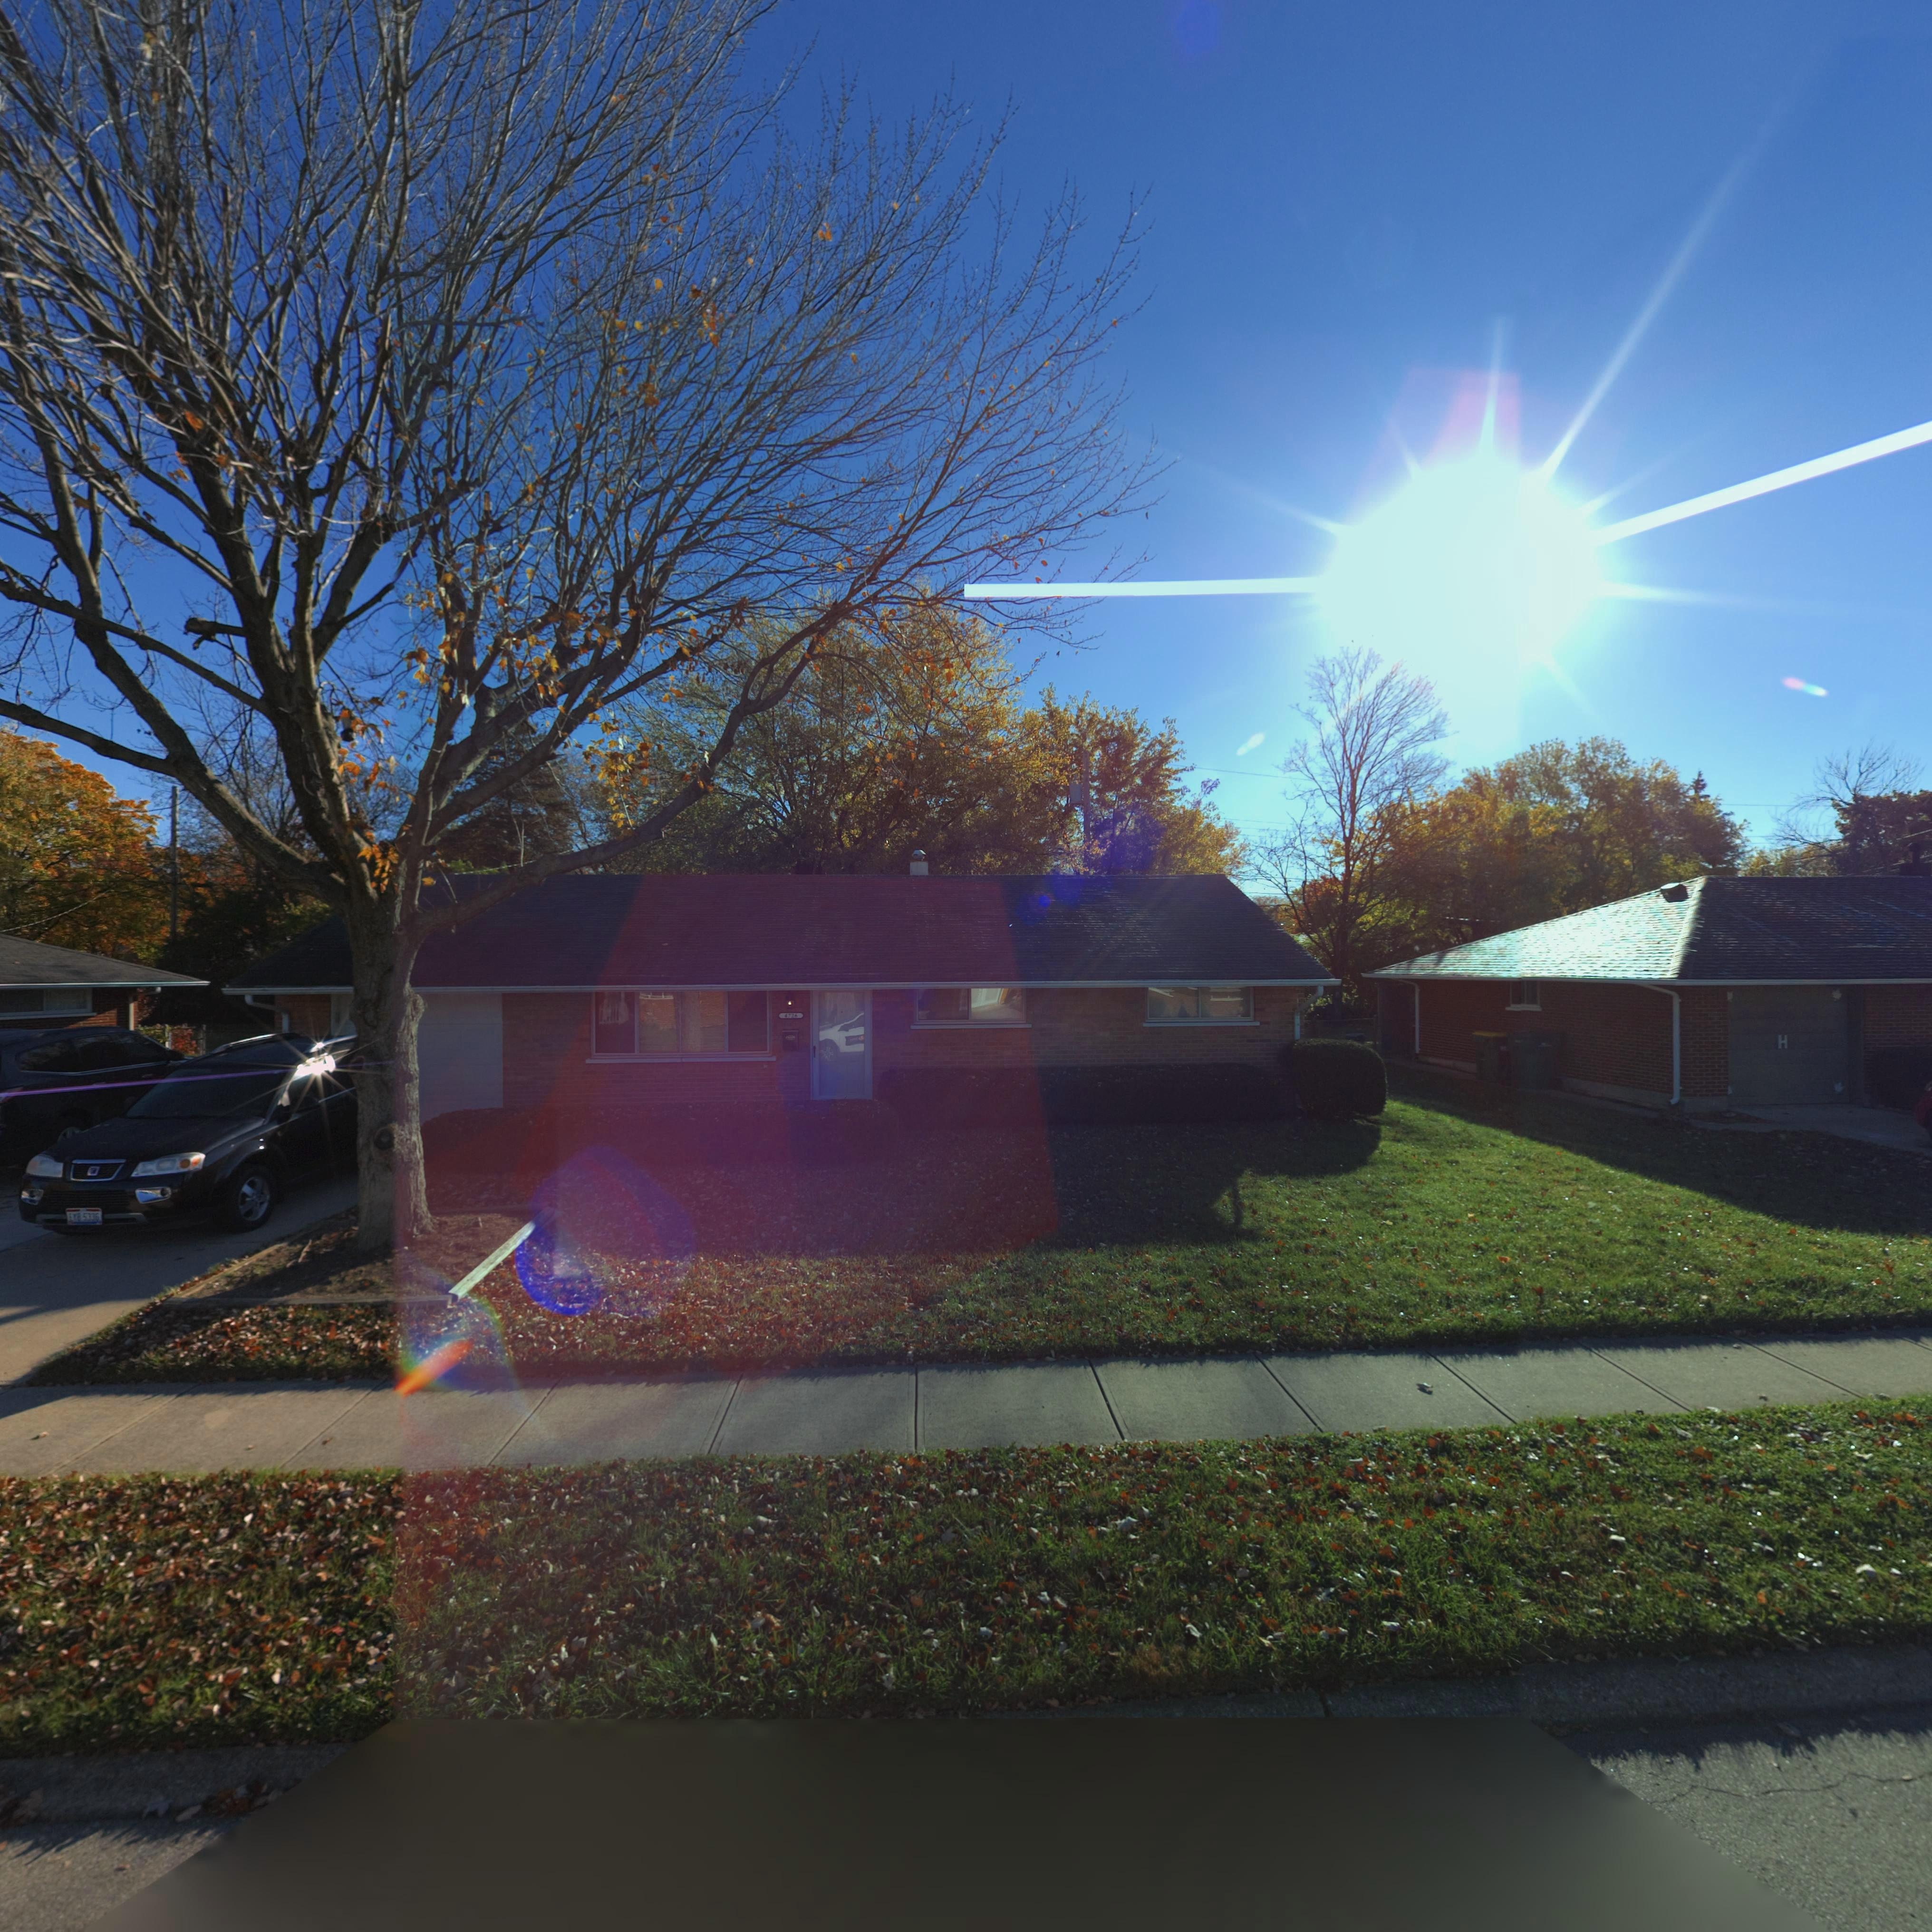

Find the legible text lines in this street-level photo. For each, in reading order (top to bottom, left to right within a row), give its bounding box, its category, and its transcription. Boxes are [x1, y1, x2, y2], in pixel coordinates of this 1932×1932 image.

[783, 1013, 798, 1018] StreetNumber: 4726